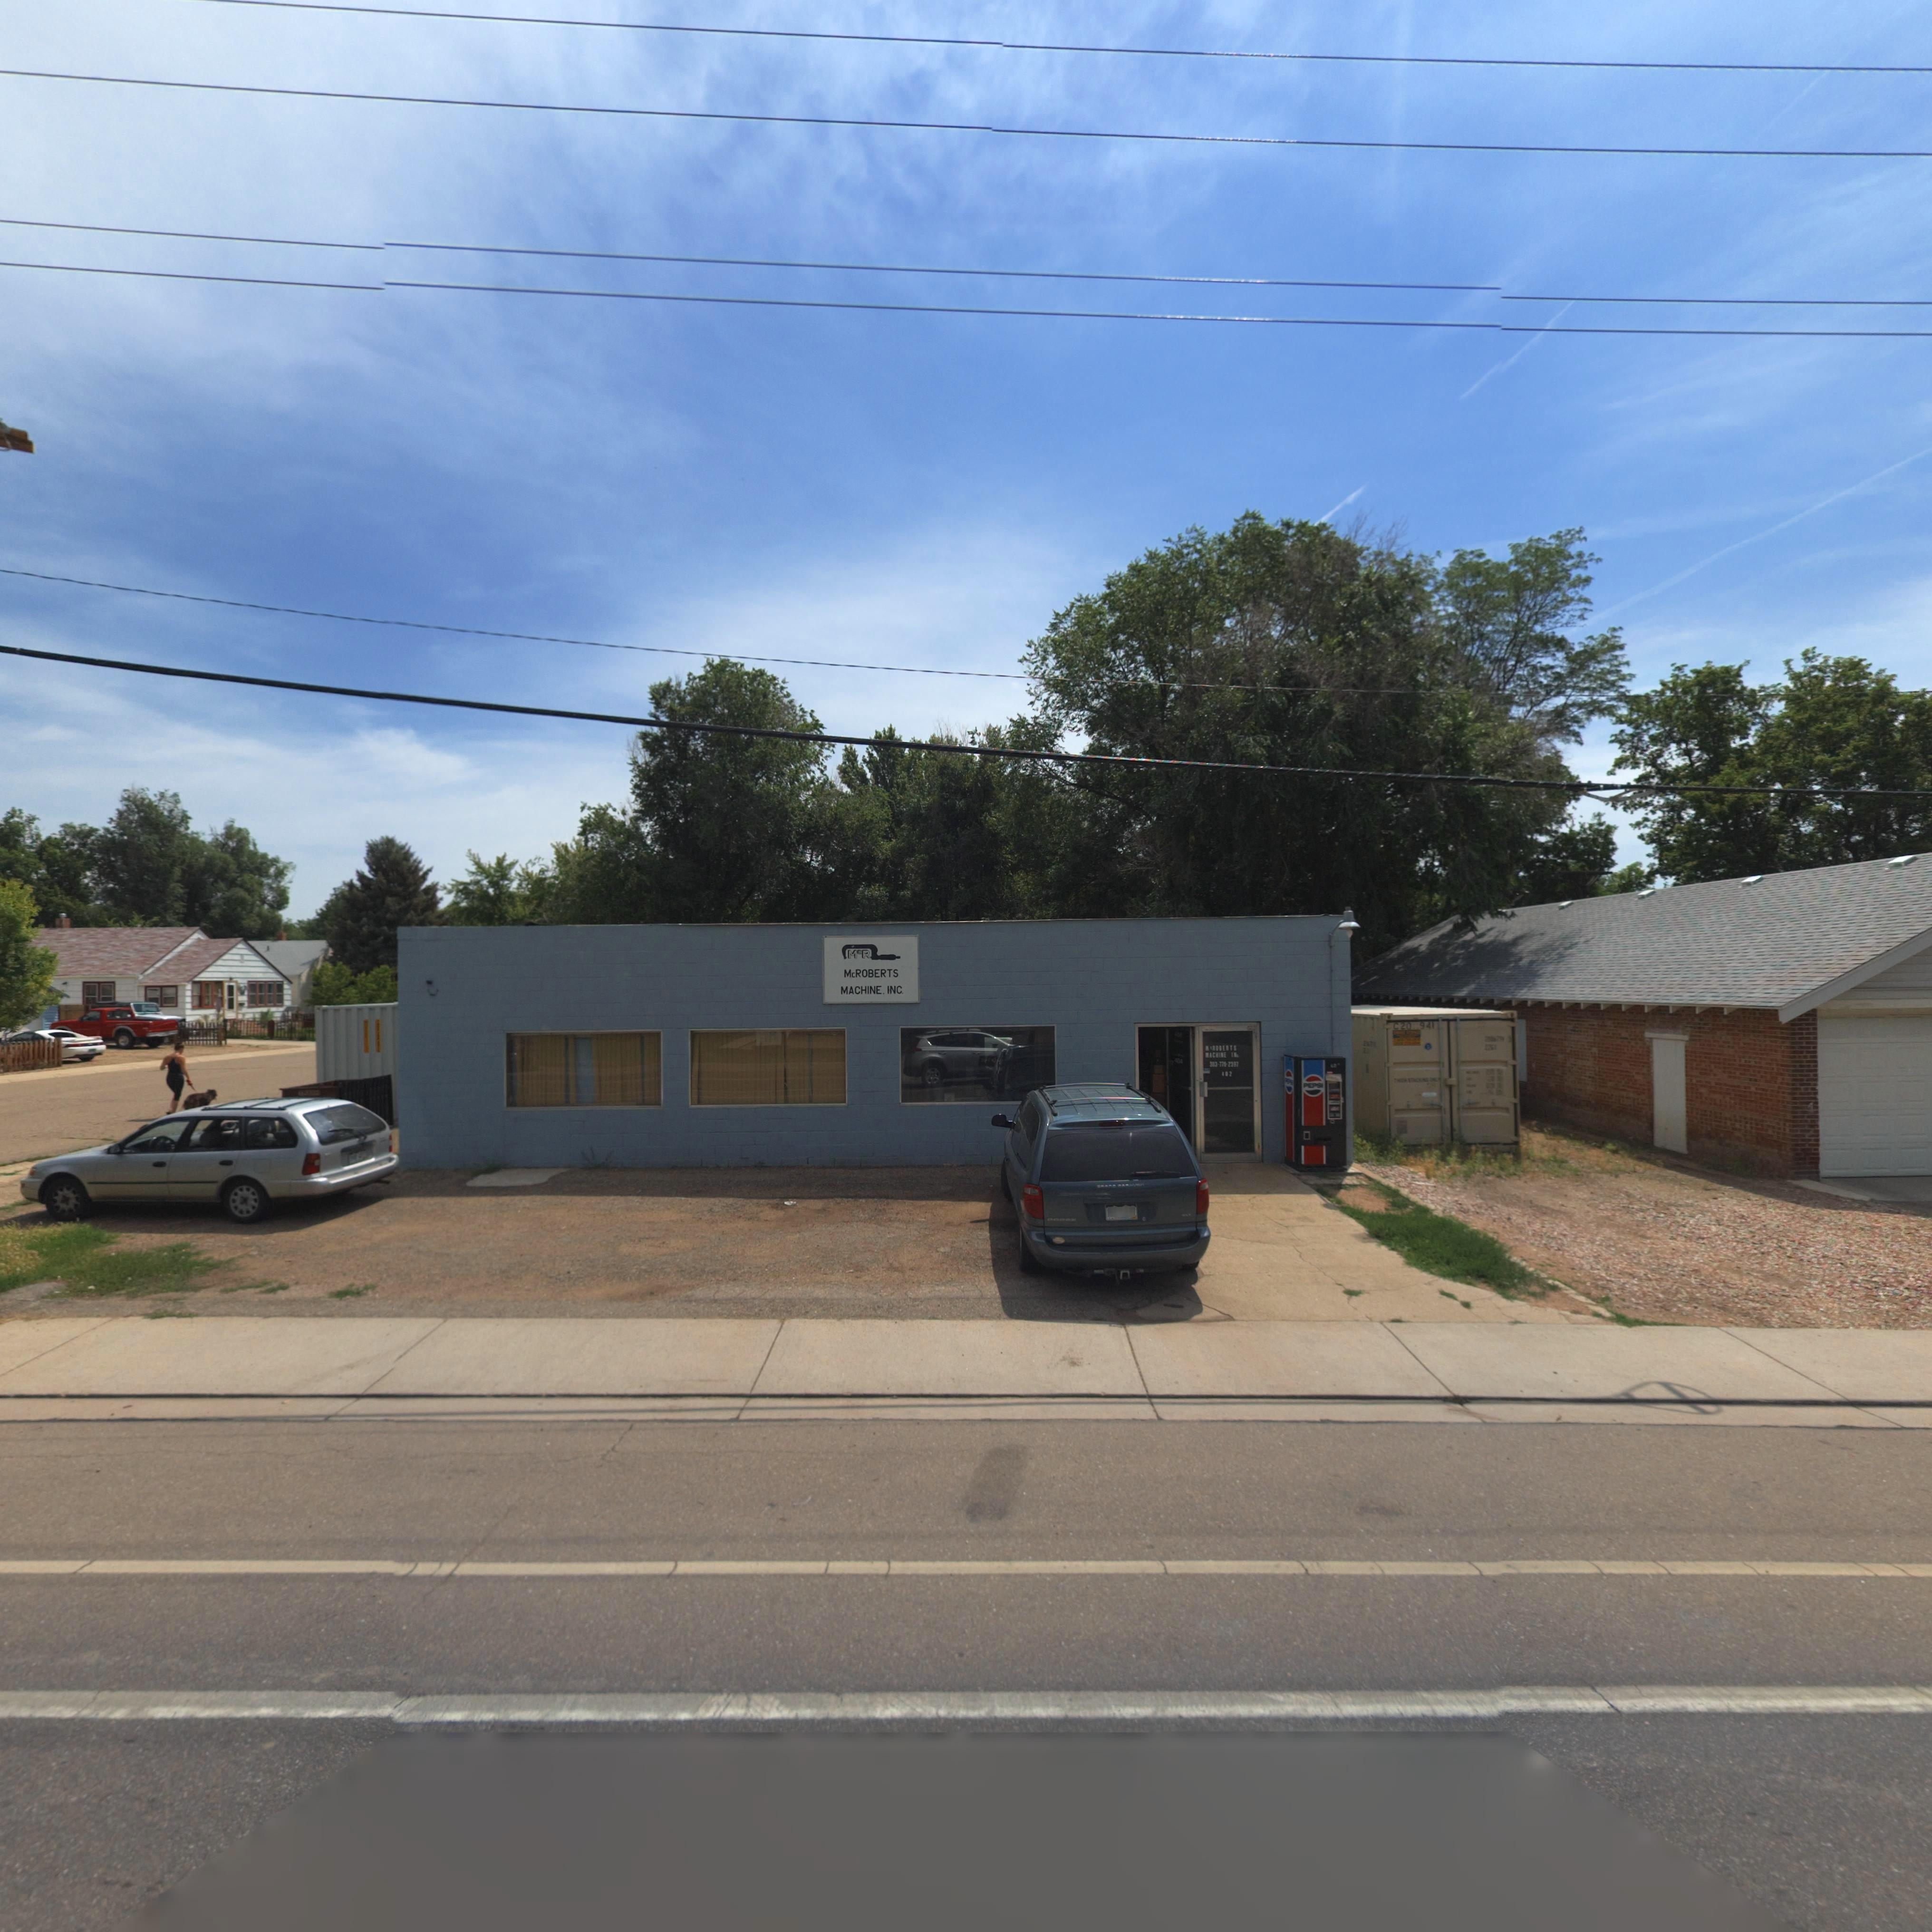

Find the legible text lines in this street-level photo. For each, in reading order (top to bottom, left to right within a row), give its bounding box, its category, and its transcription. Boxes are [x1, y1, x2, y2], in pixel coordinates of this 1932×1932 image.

[847, 949, 870, 959] BusinessName: M*R
[843, 968, 899, 978] BusinessName: McROBERTS
[840, 985, 903, 995] BusinessName: MACHINE INC
[1205, 1044, 1236, 1052] BusinessName: **ROBE*TS
[1205, 1051, 1239, 1058] BusinessName: *ACHINE IN*